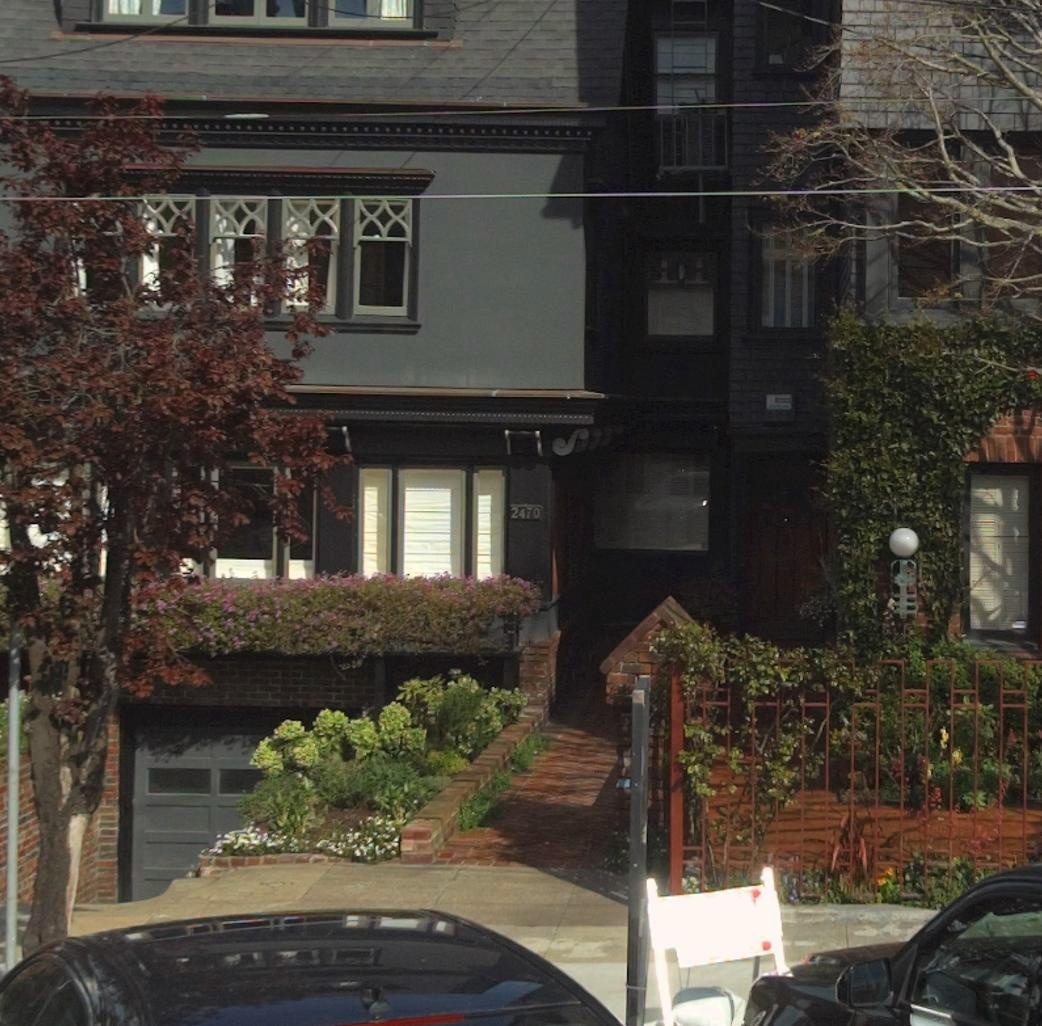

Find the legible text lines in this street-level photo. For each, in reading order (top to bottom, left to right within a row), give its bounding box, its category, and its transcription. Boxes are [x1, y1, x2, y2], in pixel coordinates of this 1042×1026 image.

[509, 504, 542, 522] StreetNumber: 2470